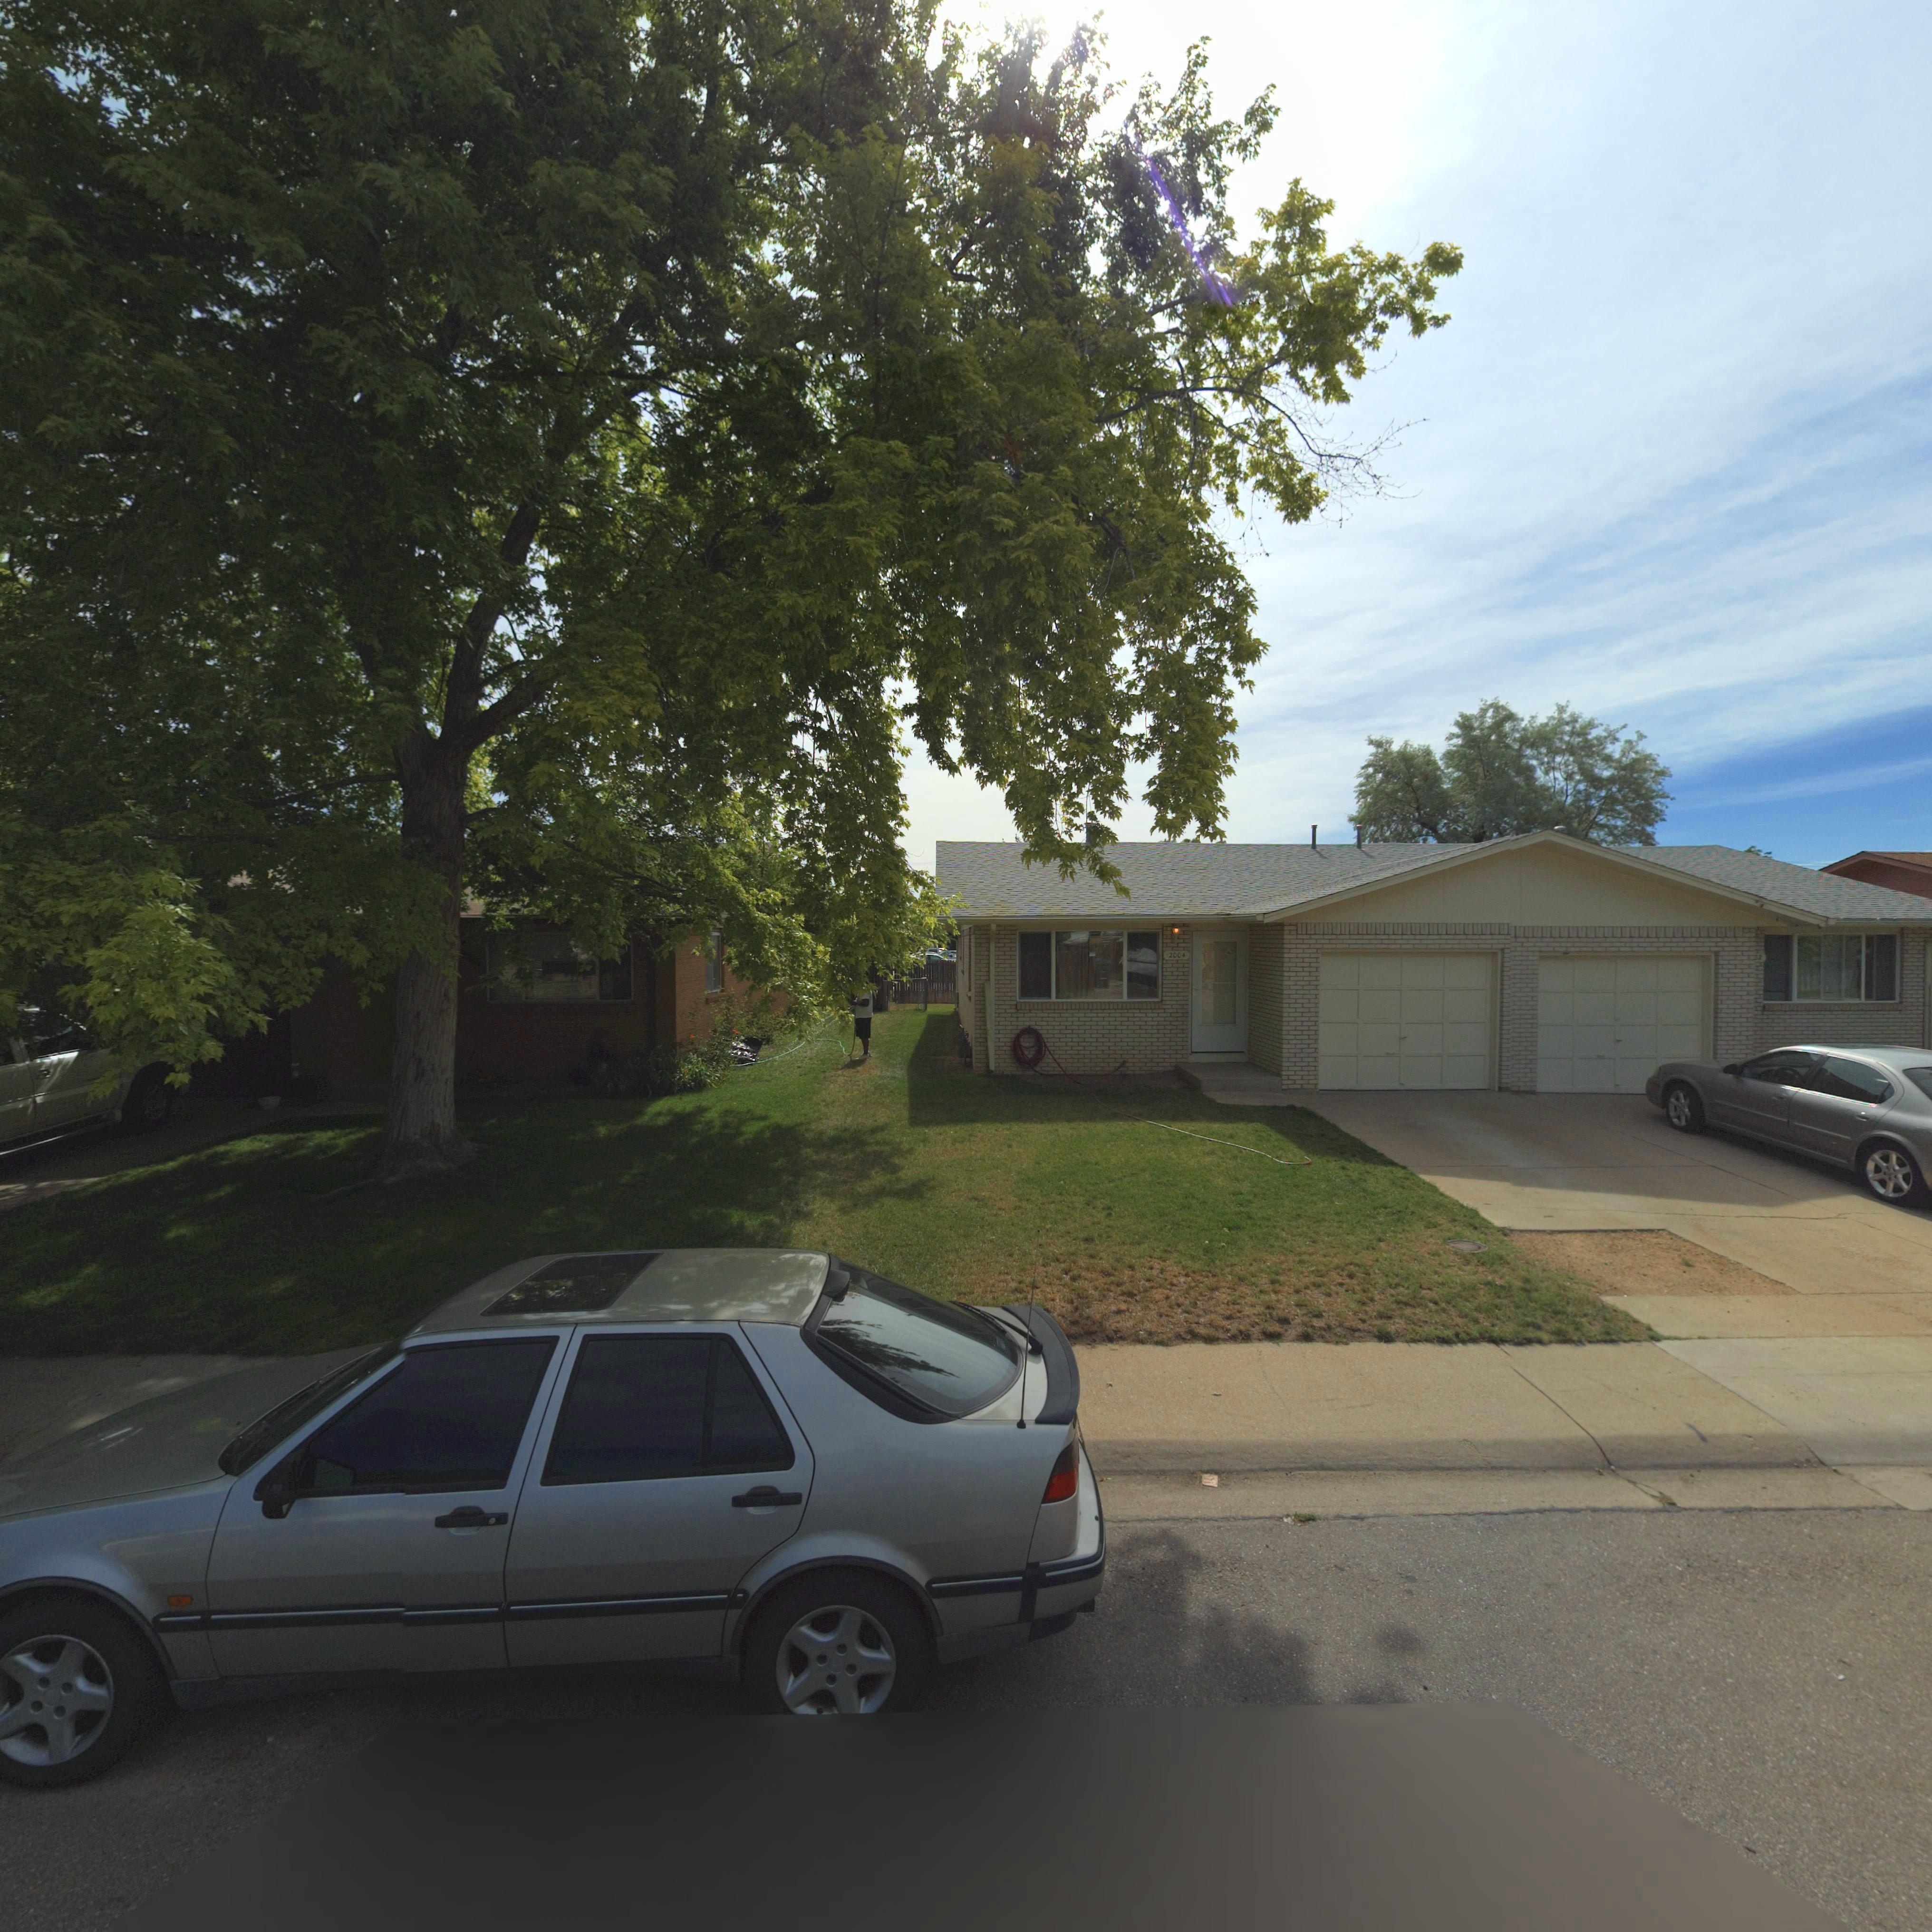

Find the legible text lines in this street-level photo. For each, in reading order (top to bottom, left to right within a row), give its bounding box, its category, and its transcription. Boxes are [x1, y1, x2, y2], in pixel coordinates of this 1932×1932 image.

[1168, 952, 1186, 958] StreetNumber: 2004
[1758, 954, 1762, 960] StreetNumber: 2